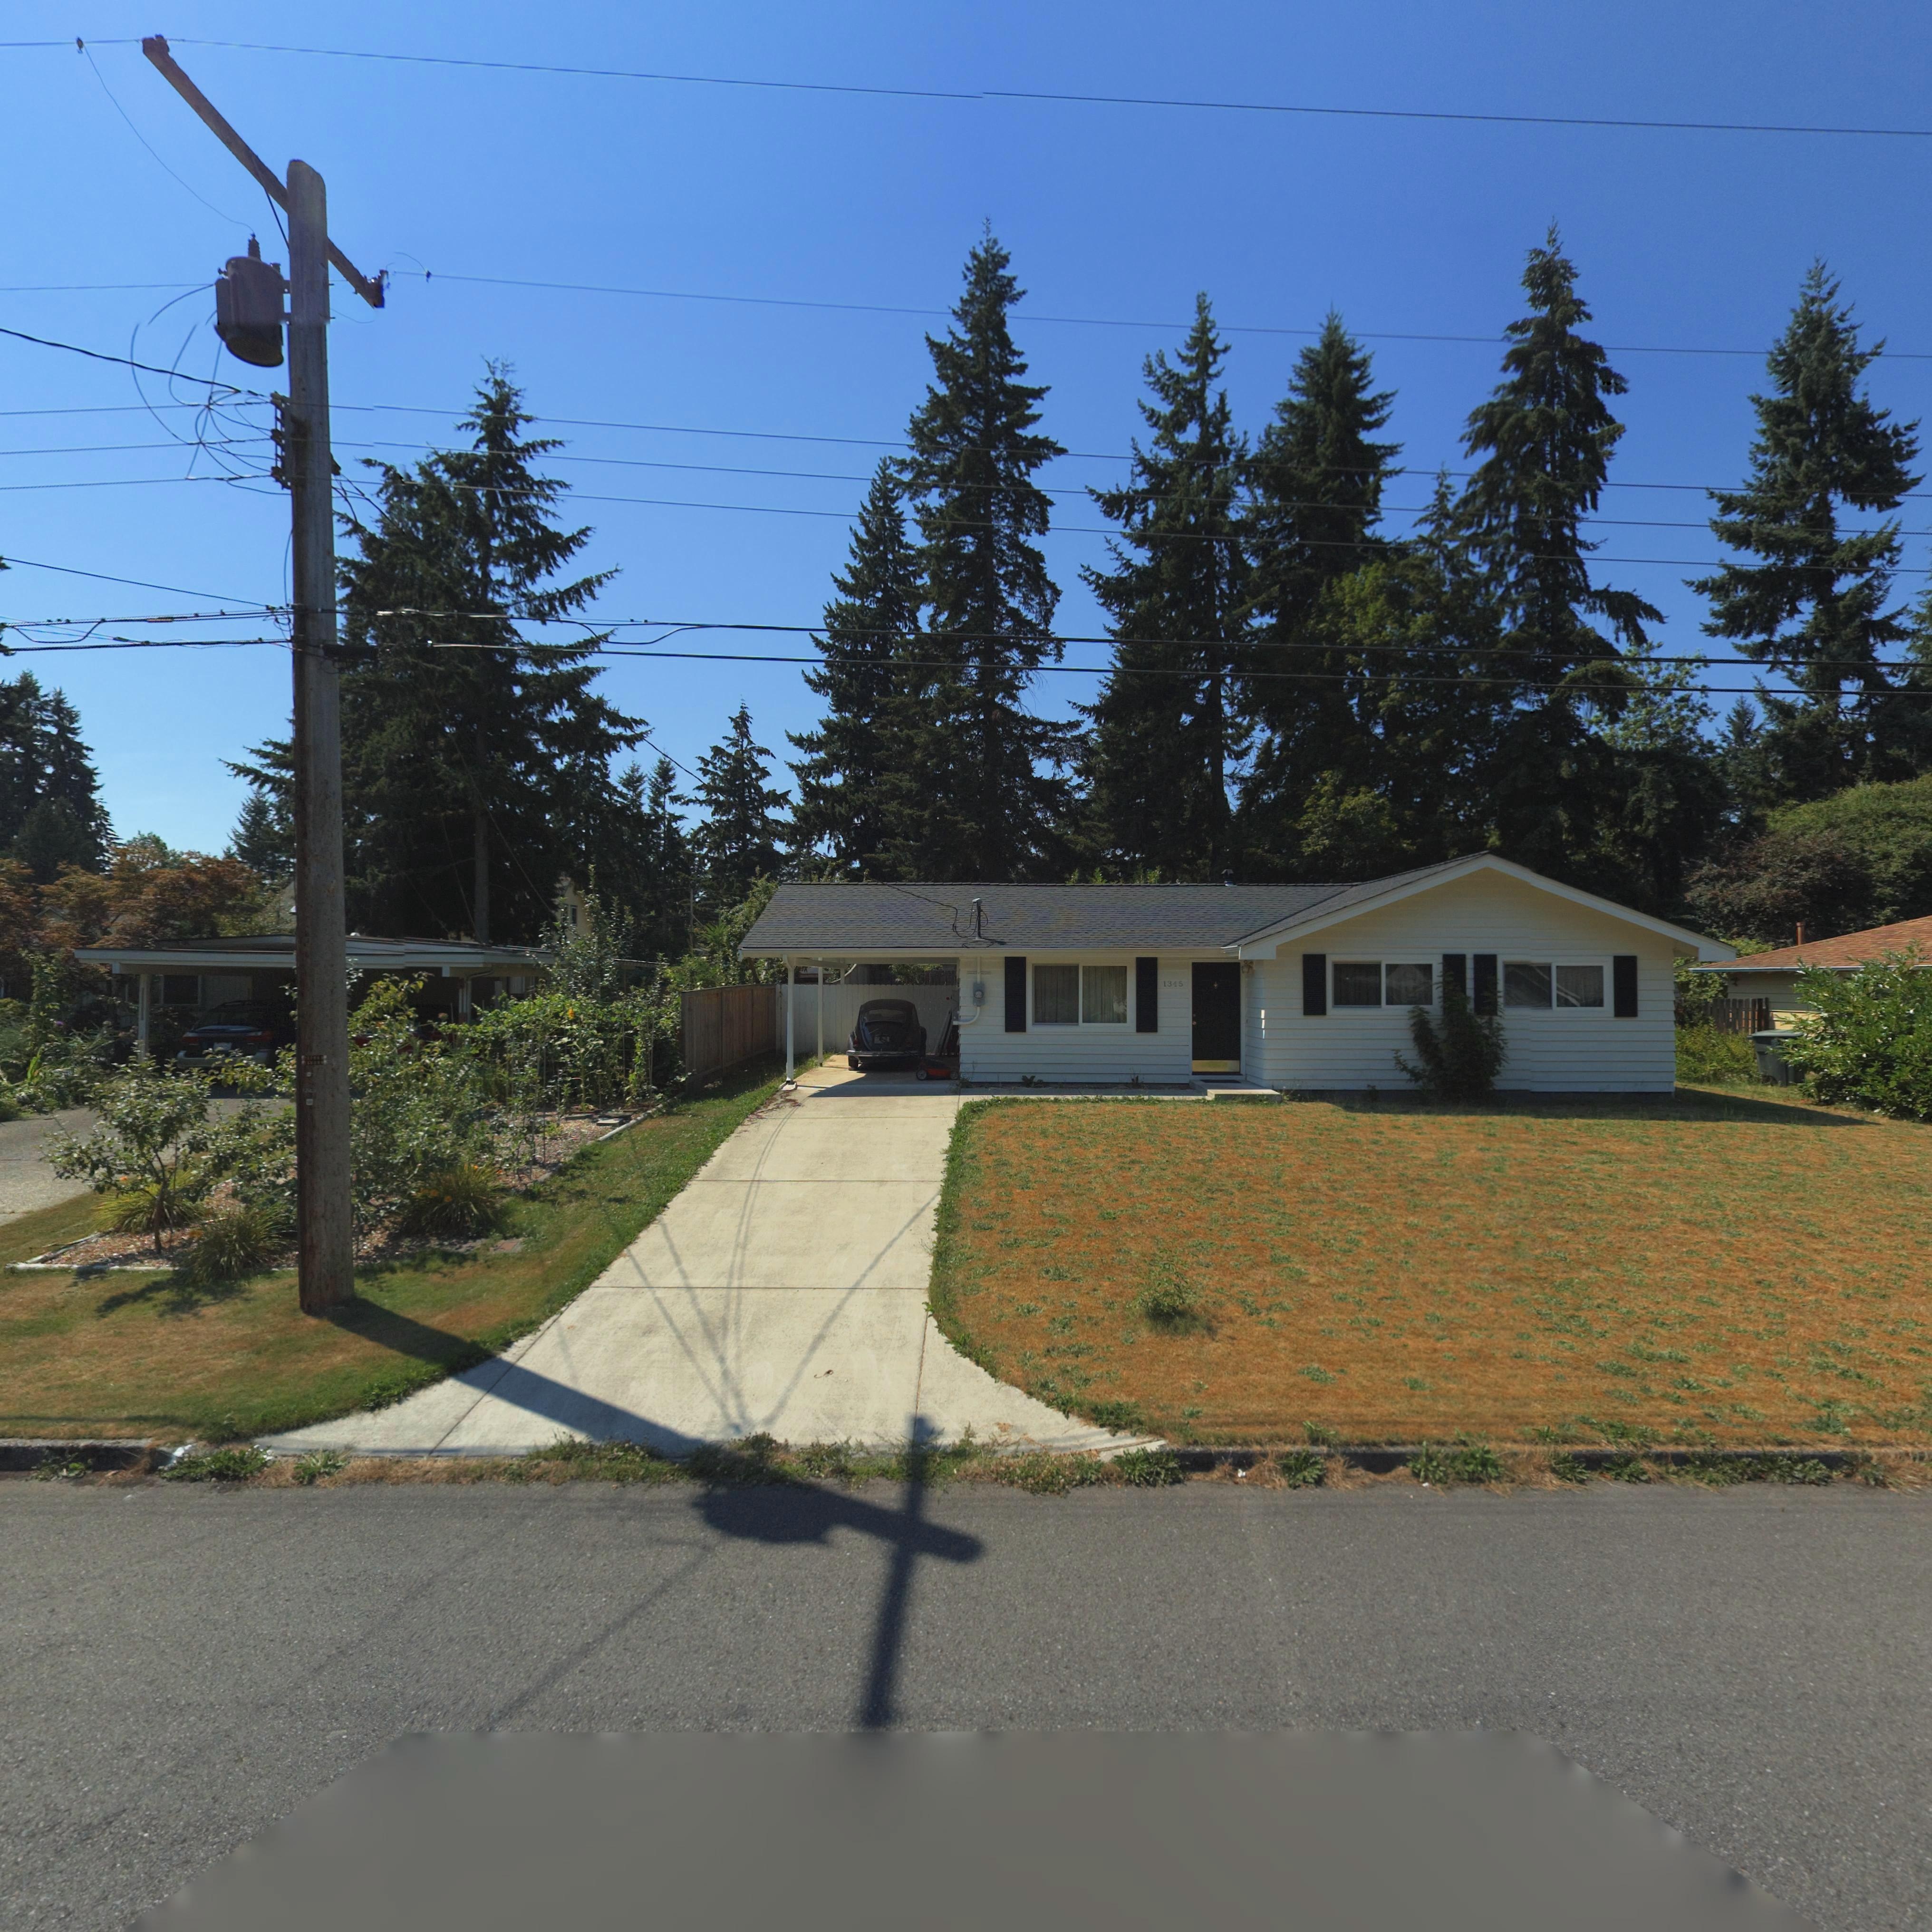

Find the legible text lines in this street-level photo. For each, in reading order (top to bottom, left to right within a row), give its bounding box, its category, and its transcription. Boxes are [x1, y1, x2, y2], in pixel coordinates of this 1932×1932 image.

[1163, 980, 1183, 987] StreetNumber: 1345